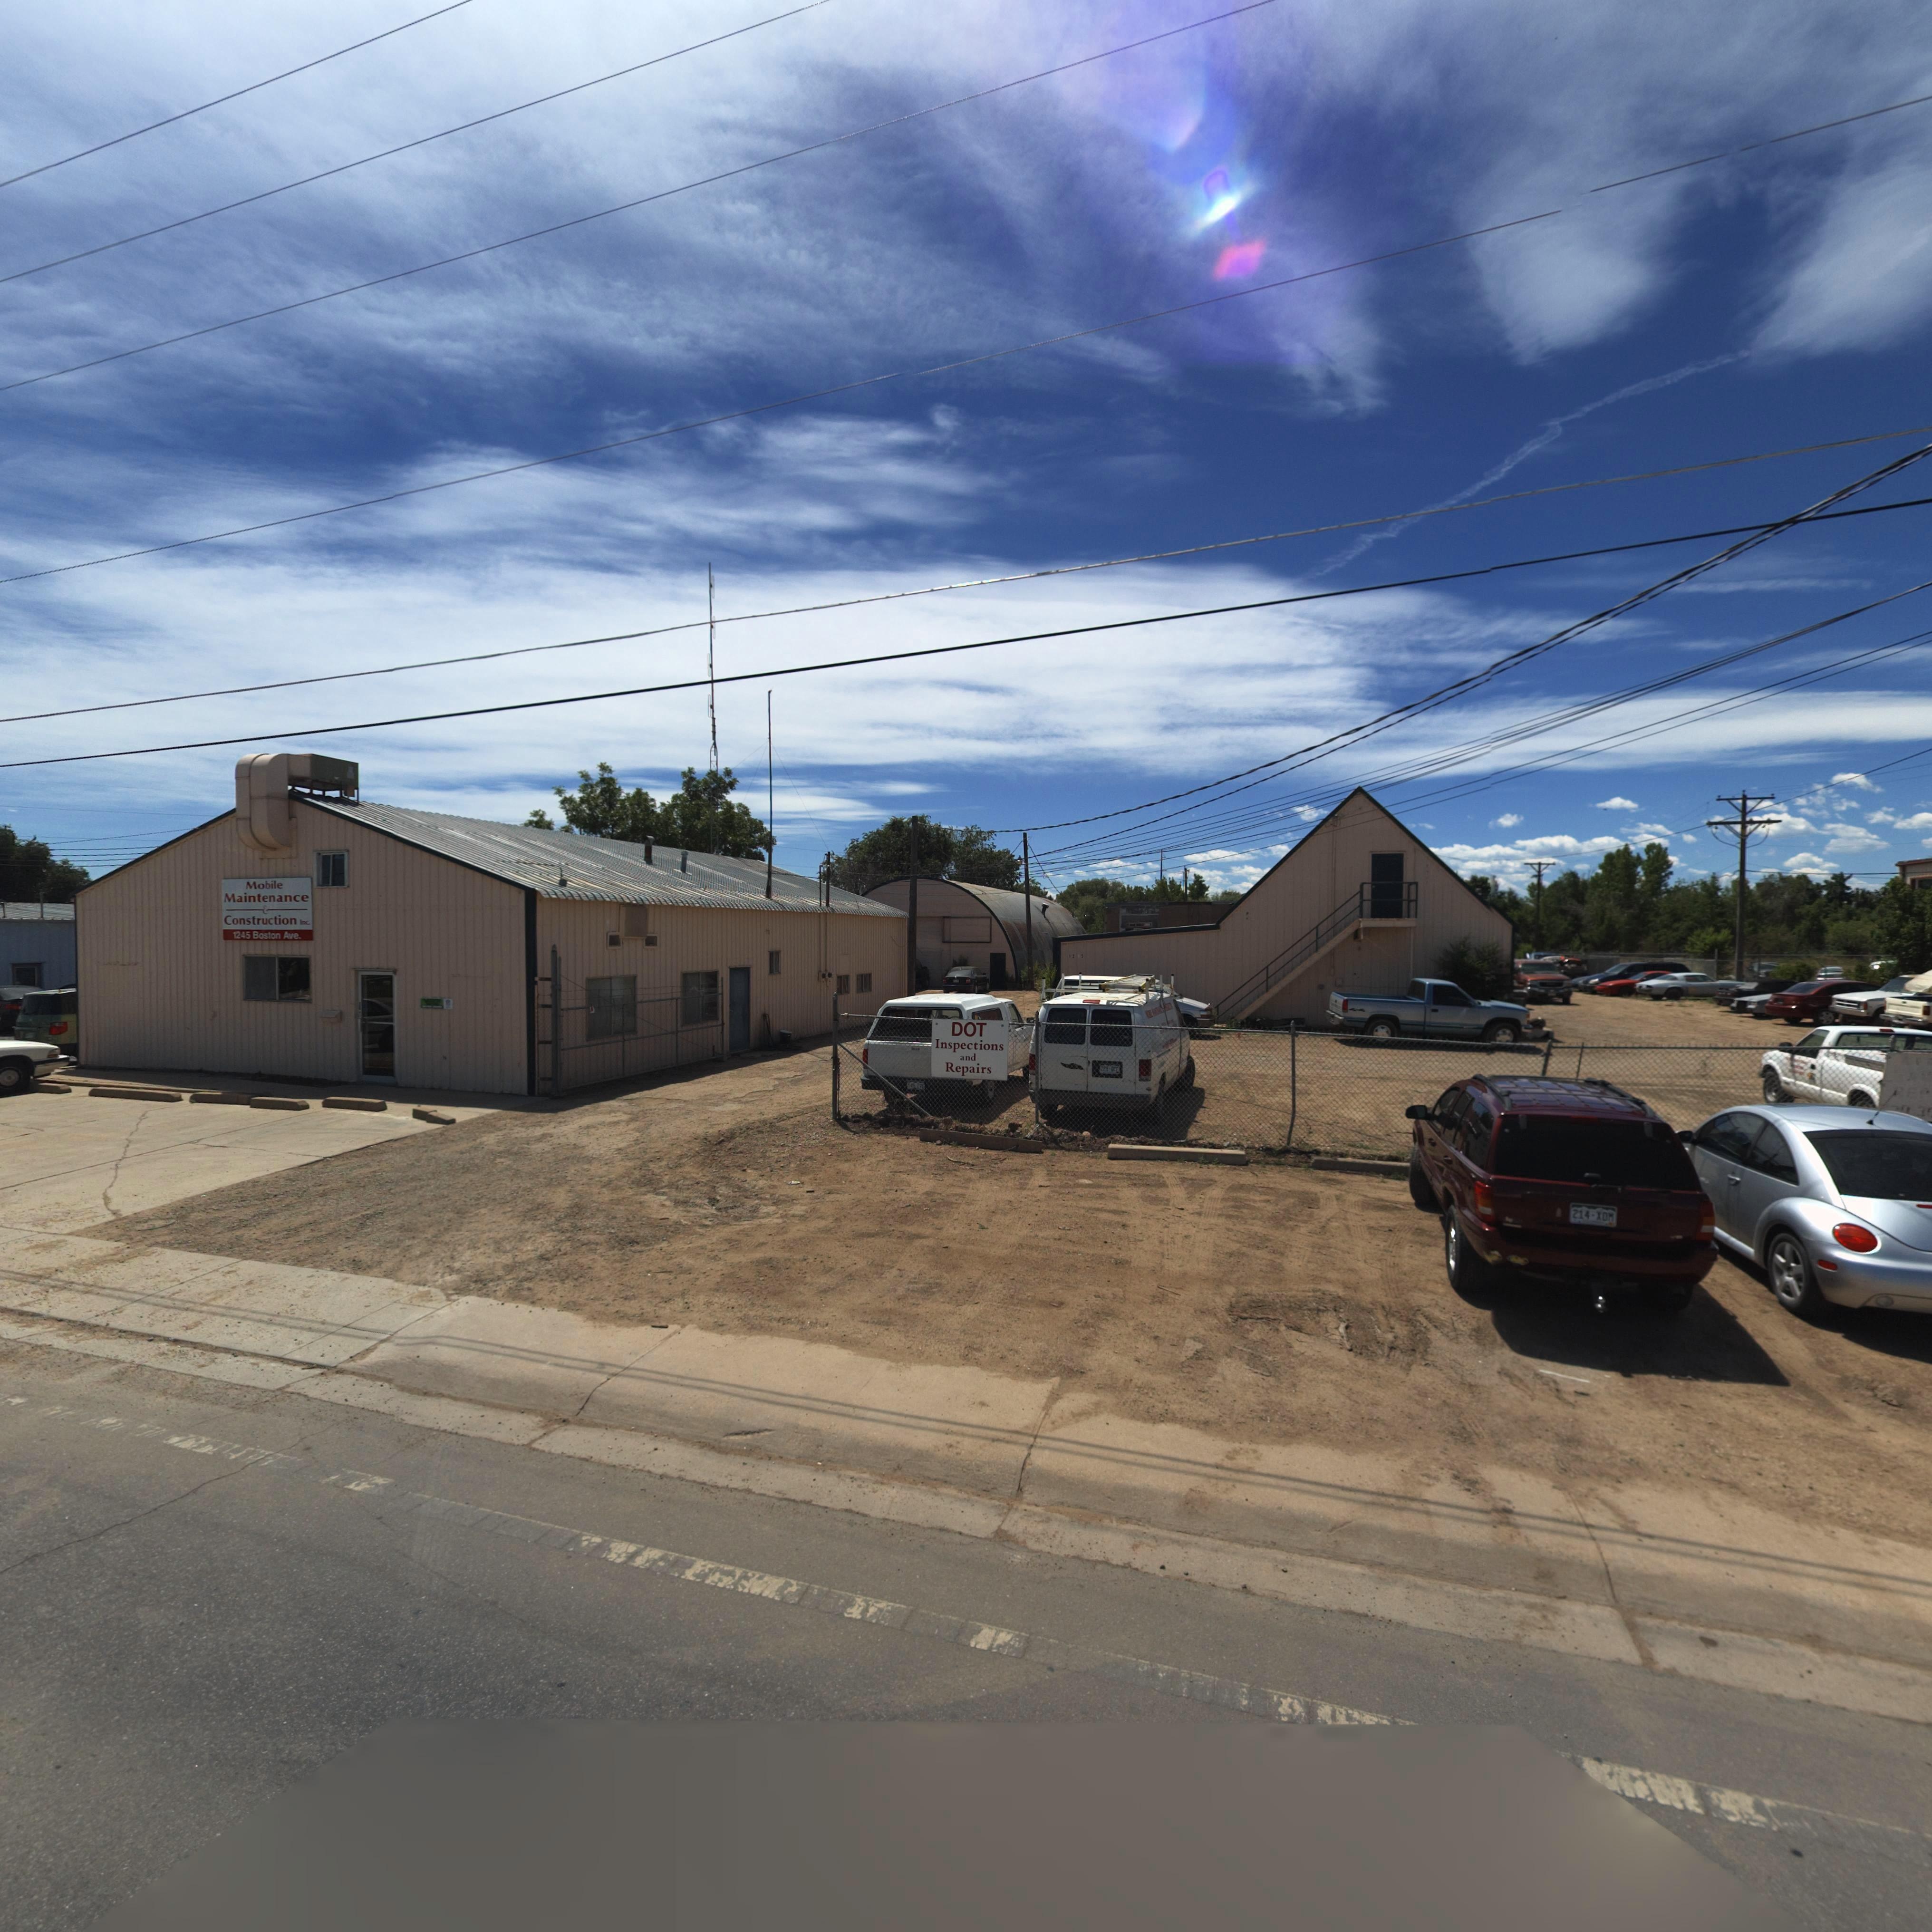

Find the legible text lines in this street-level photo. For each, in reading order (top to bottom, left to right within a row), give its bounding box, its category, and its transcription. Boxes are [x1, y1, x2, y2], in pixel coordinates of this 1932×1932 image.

[242, 879, 286, 890] BusinessName: Mobile
[223, 891, 309, 902] BusinessName: Maintenance
[223, 913, 310, 926] BusinessName: Construction Inc
[232, 930, 251, 939] StreetNumber: 1245
[252, 930, 302, 939] StreetName: Boston Ave.
[1068, 953, 1084, 958] StreetNumber: 12*